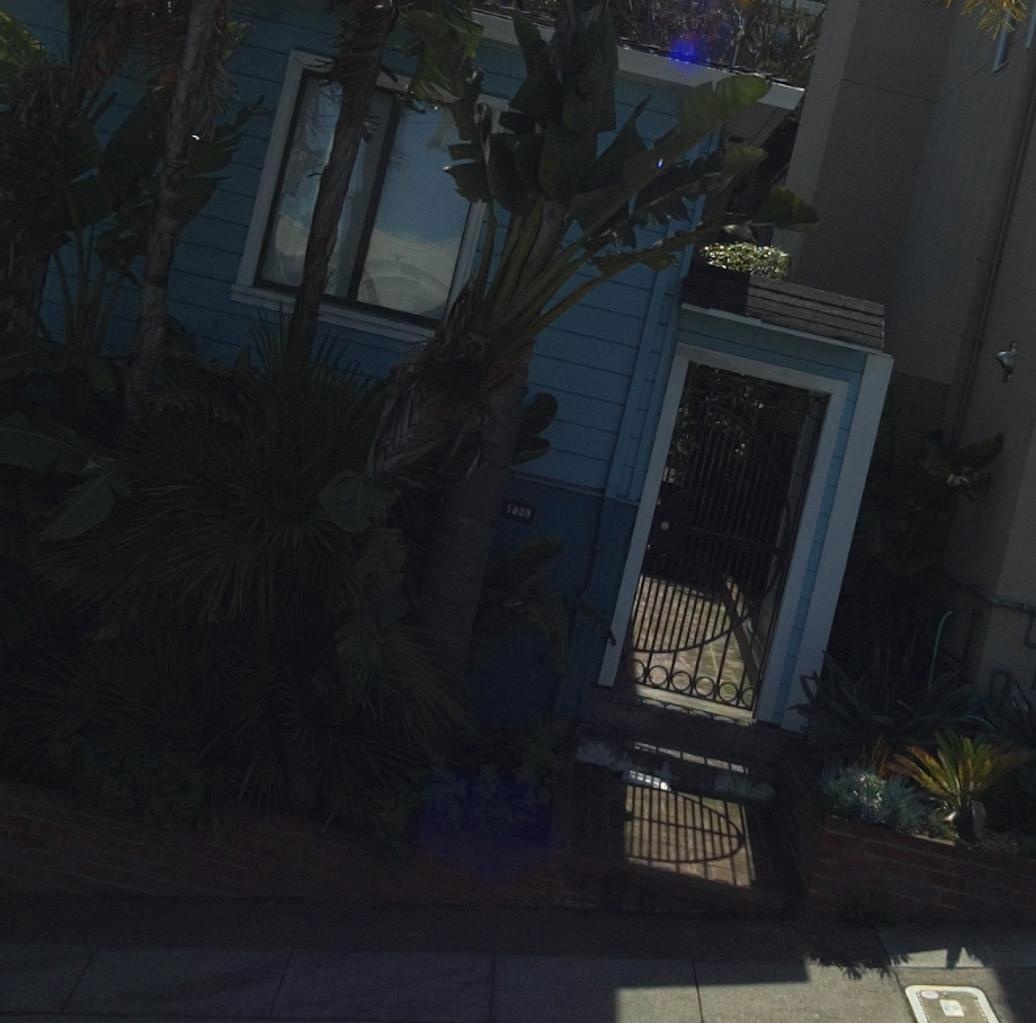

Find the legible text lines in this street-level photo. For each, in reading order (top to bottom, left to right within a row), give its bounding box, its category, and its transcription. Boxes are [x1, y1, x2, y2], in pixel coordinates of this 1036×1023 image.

[506, 503, 532, 520] StreetNumber: 1808